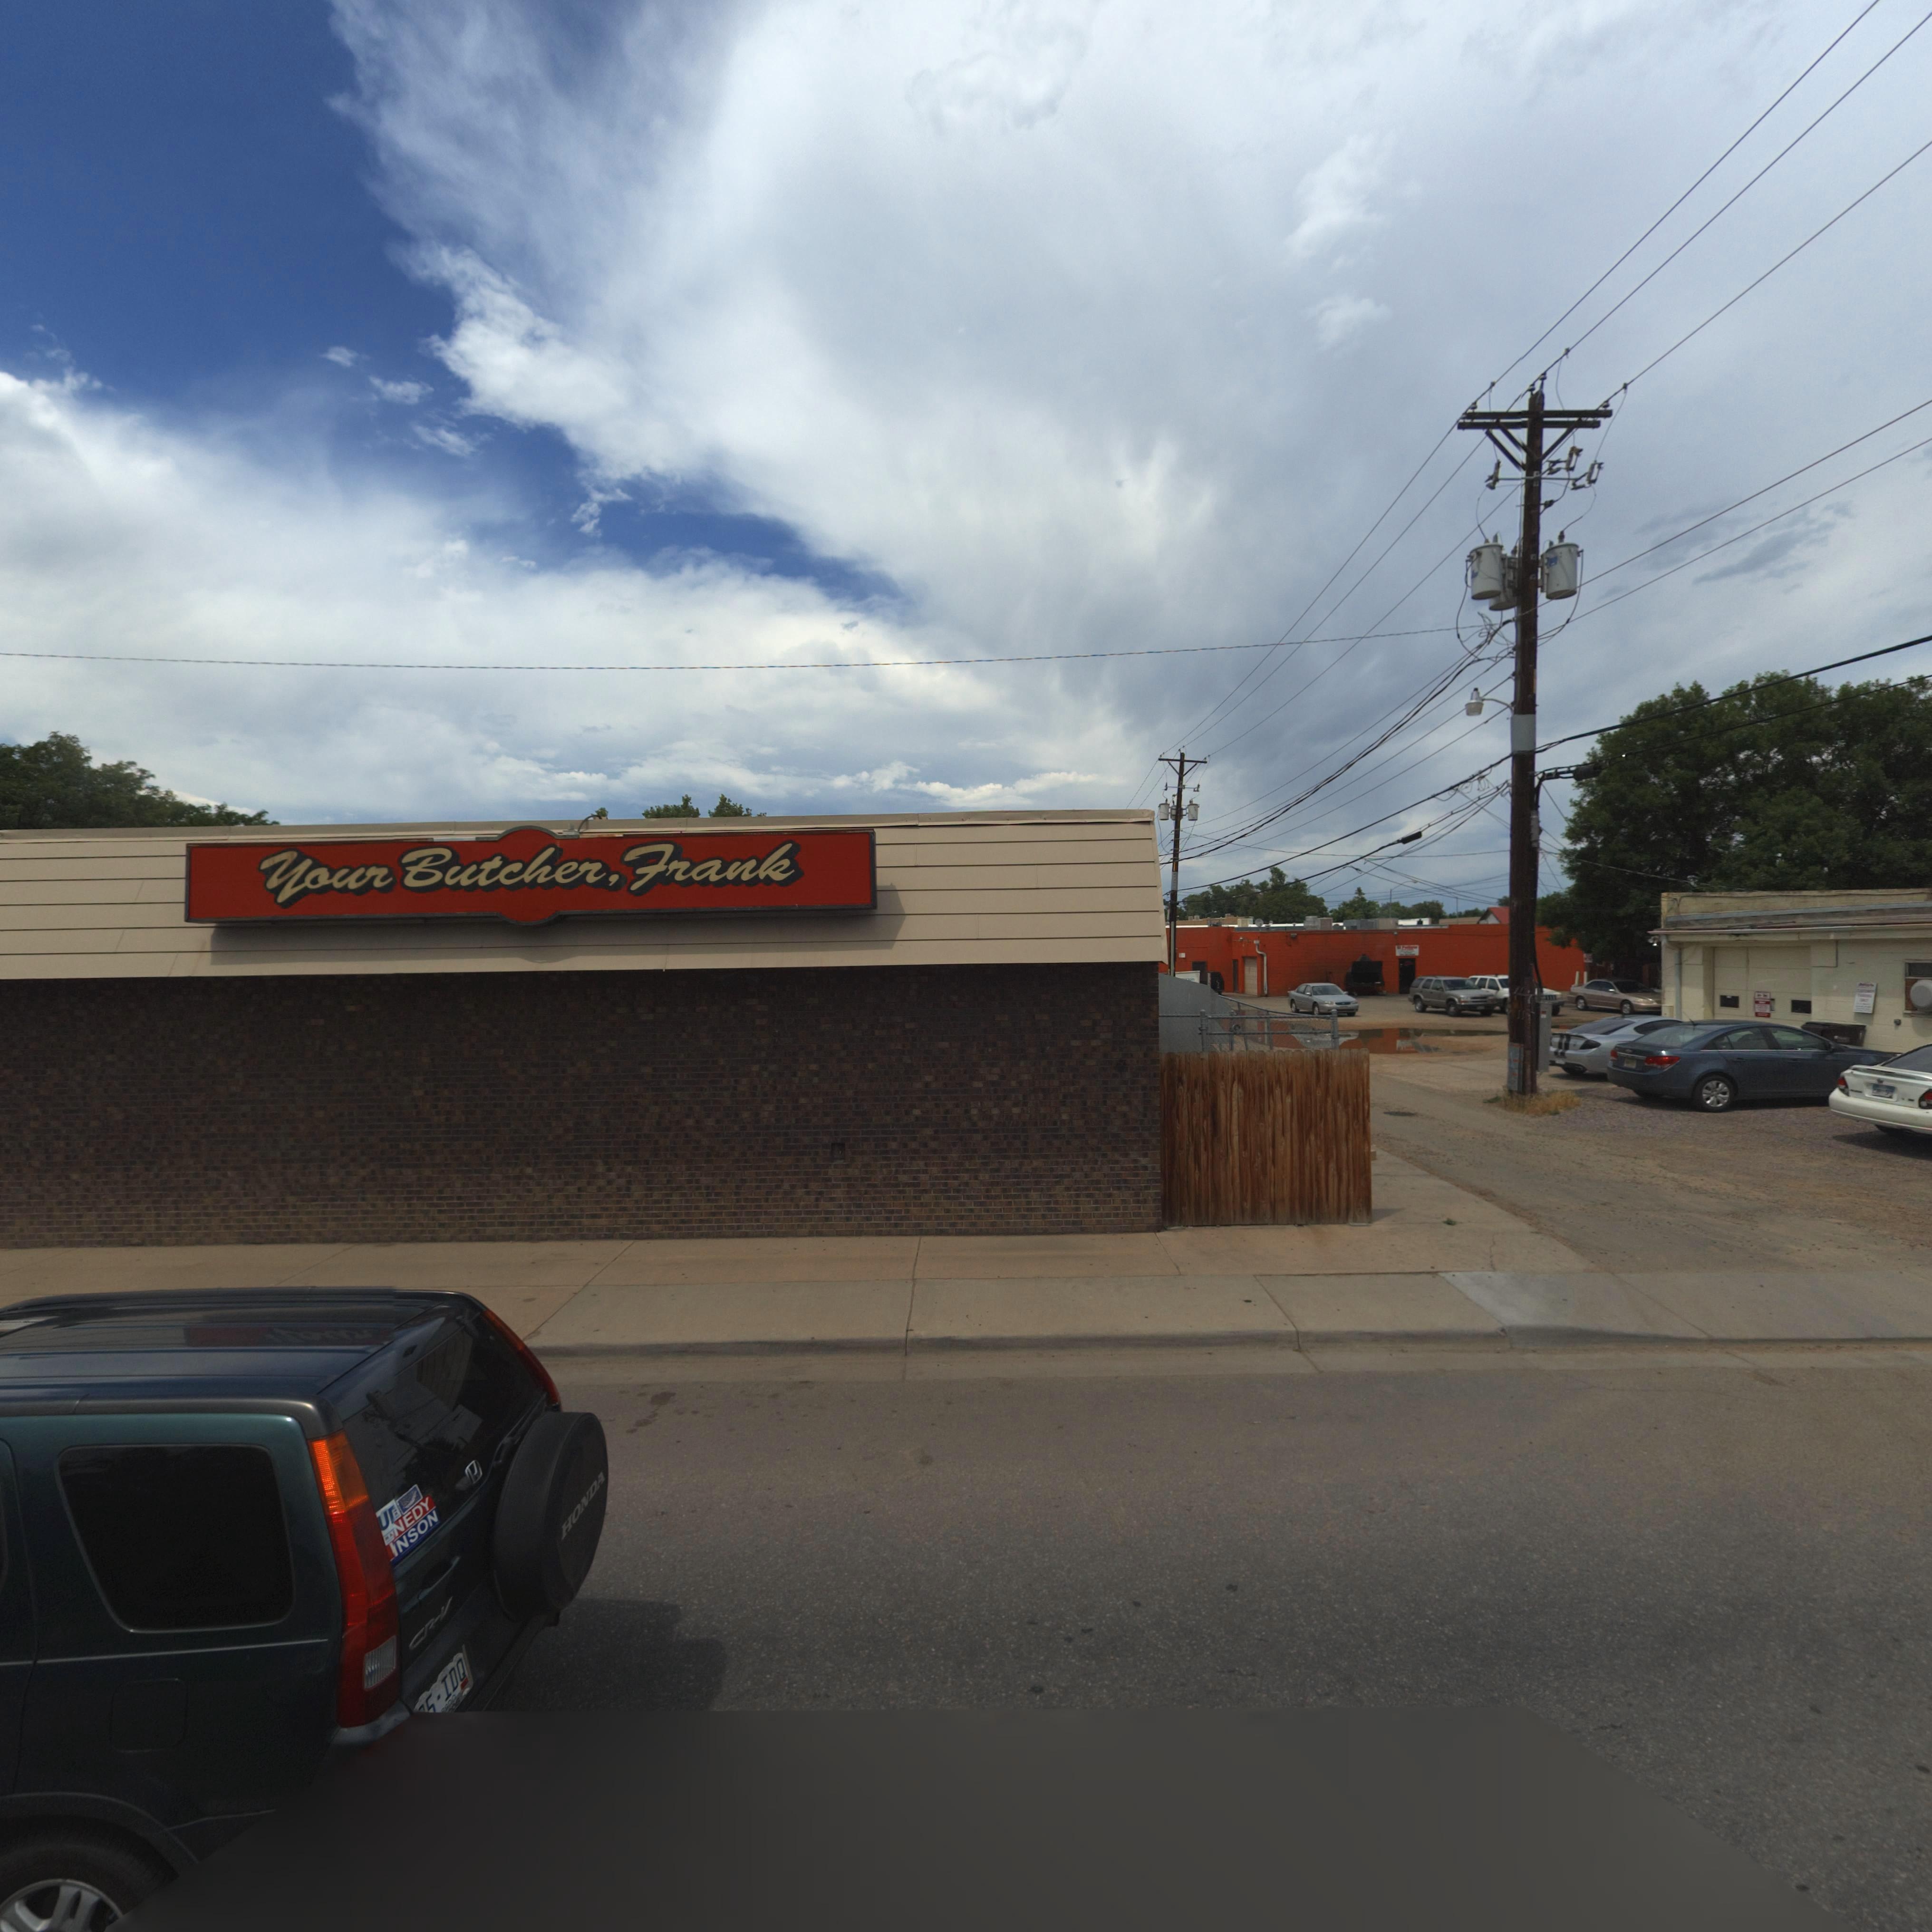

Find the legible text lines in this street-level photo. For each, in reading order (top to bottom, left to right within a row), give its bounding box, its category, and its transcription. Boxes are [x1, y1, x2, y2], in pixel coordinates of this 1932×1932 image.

[255, 839, 799, 906] BusinessName: Your Butcher, Frank